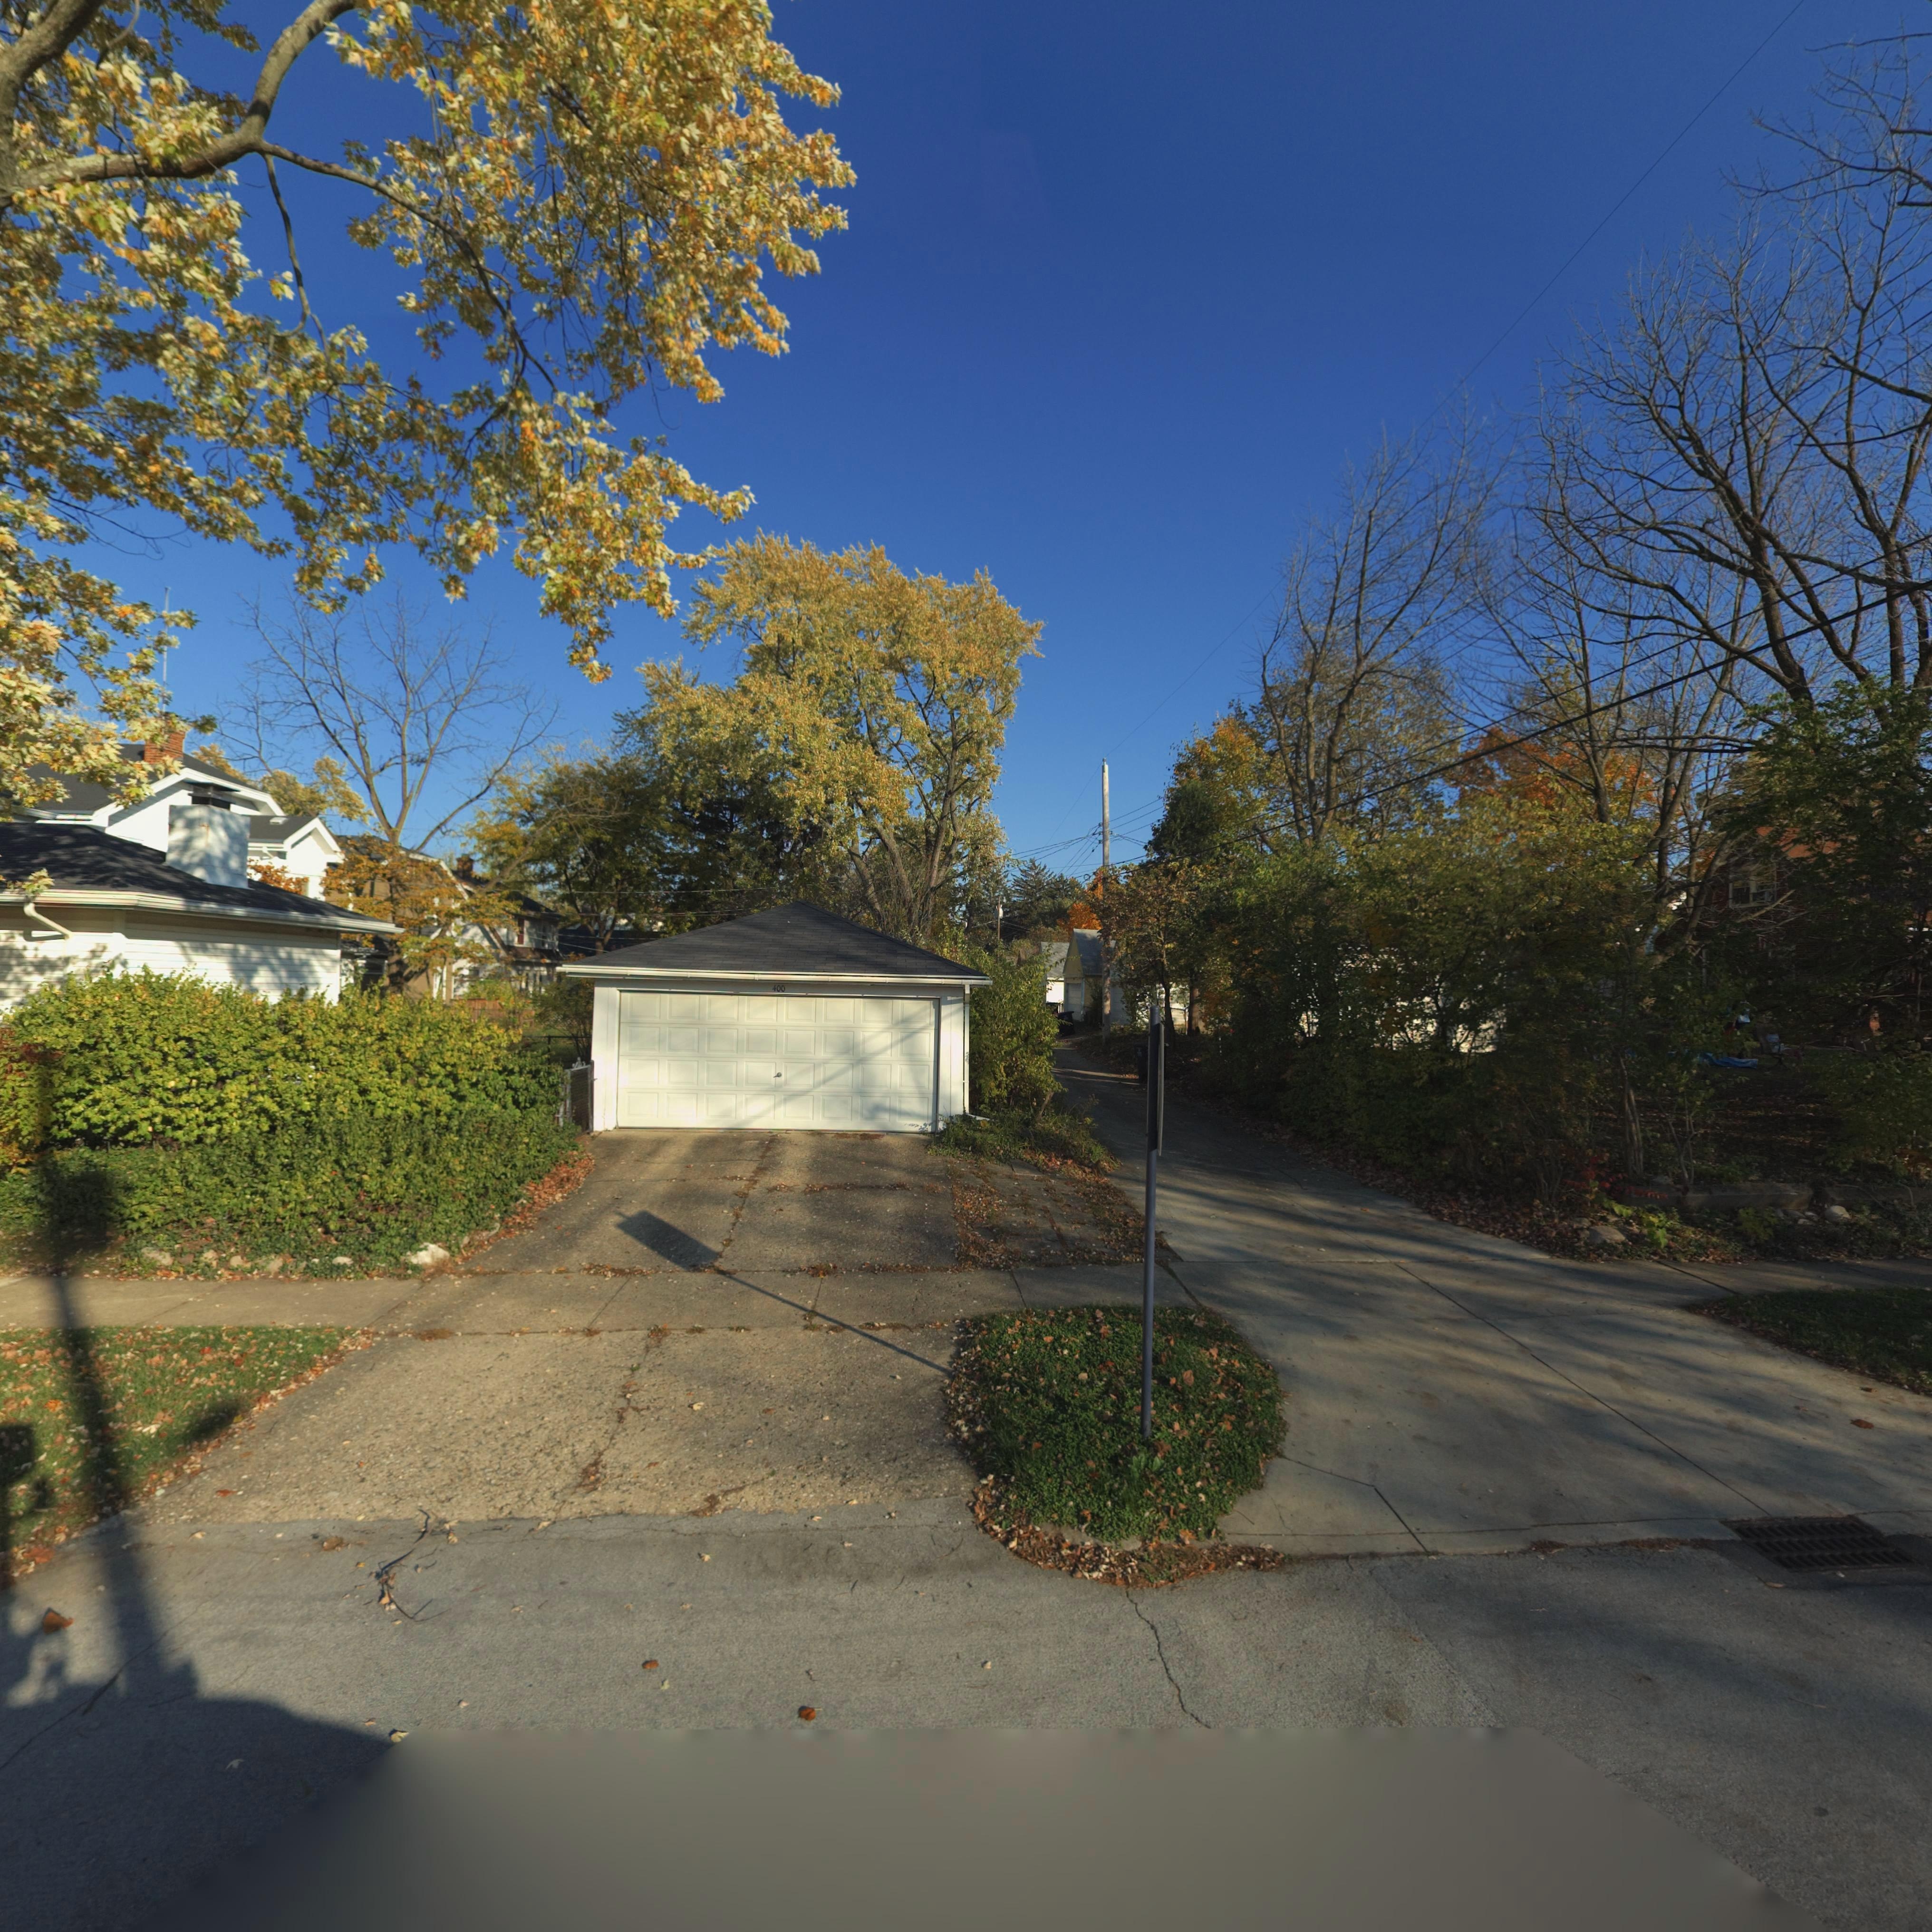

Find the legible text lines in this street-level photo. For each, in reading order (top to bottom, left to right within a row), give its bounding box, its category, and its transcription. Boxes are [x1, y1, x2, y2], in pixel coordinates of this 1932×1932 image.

[772, 984, 785, 992] StreetNumber: 400